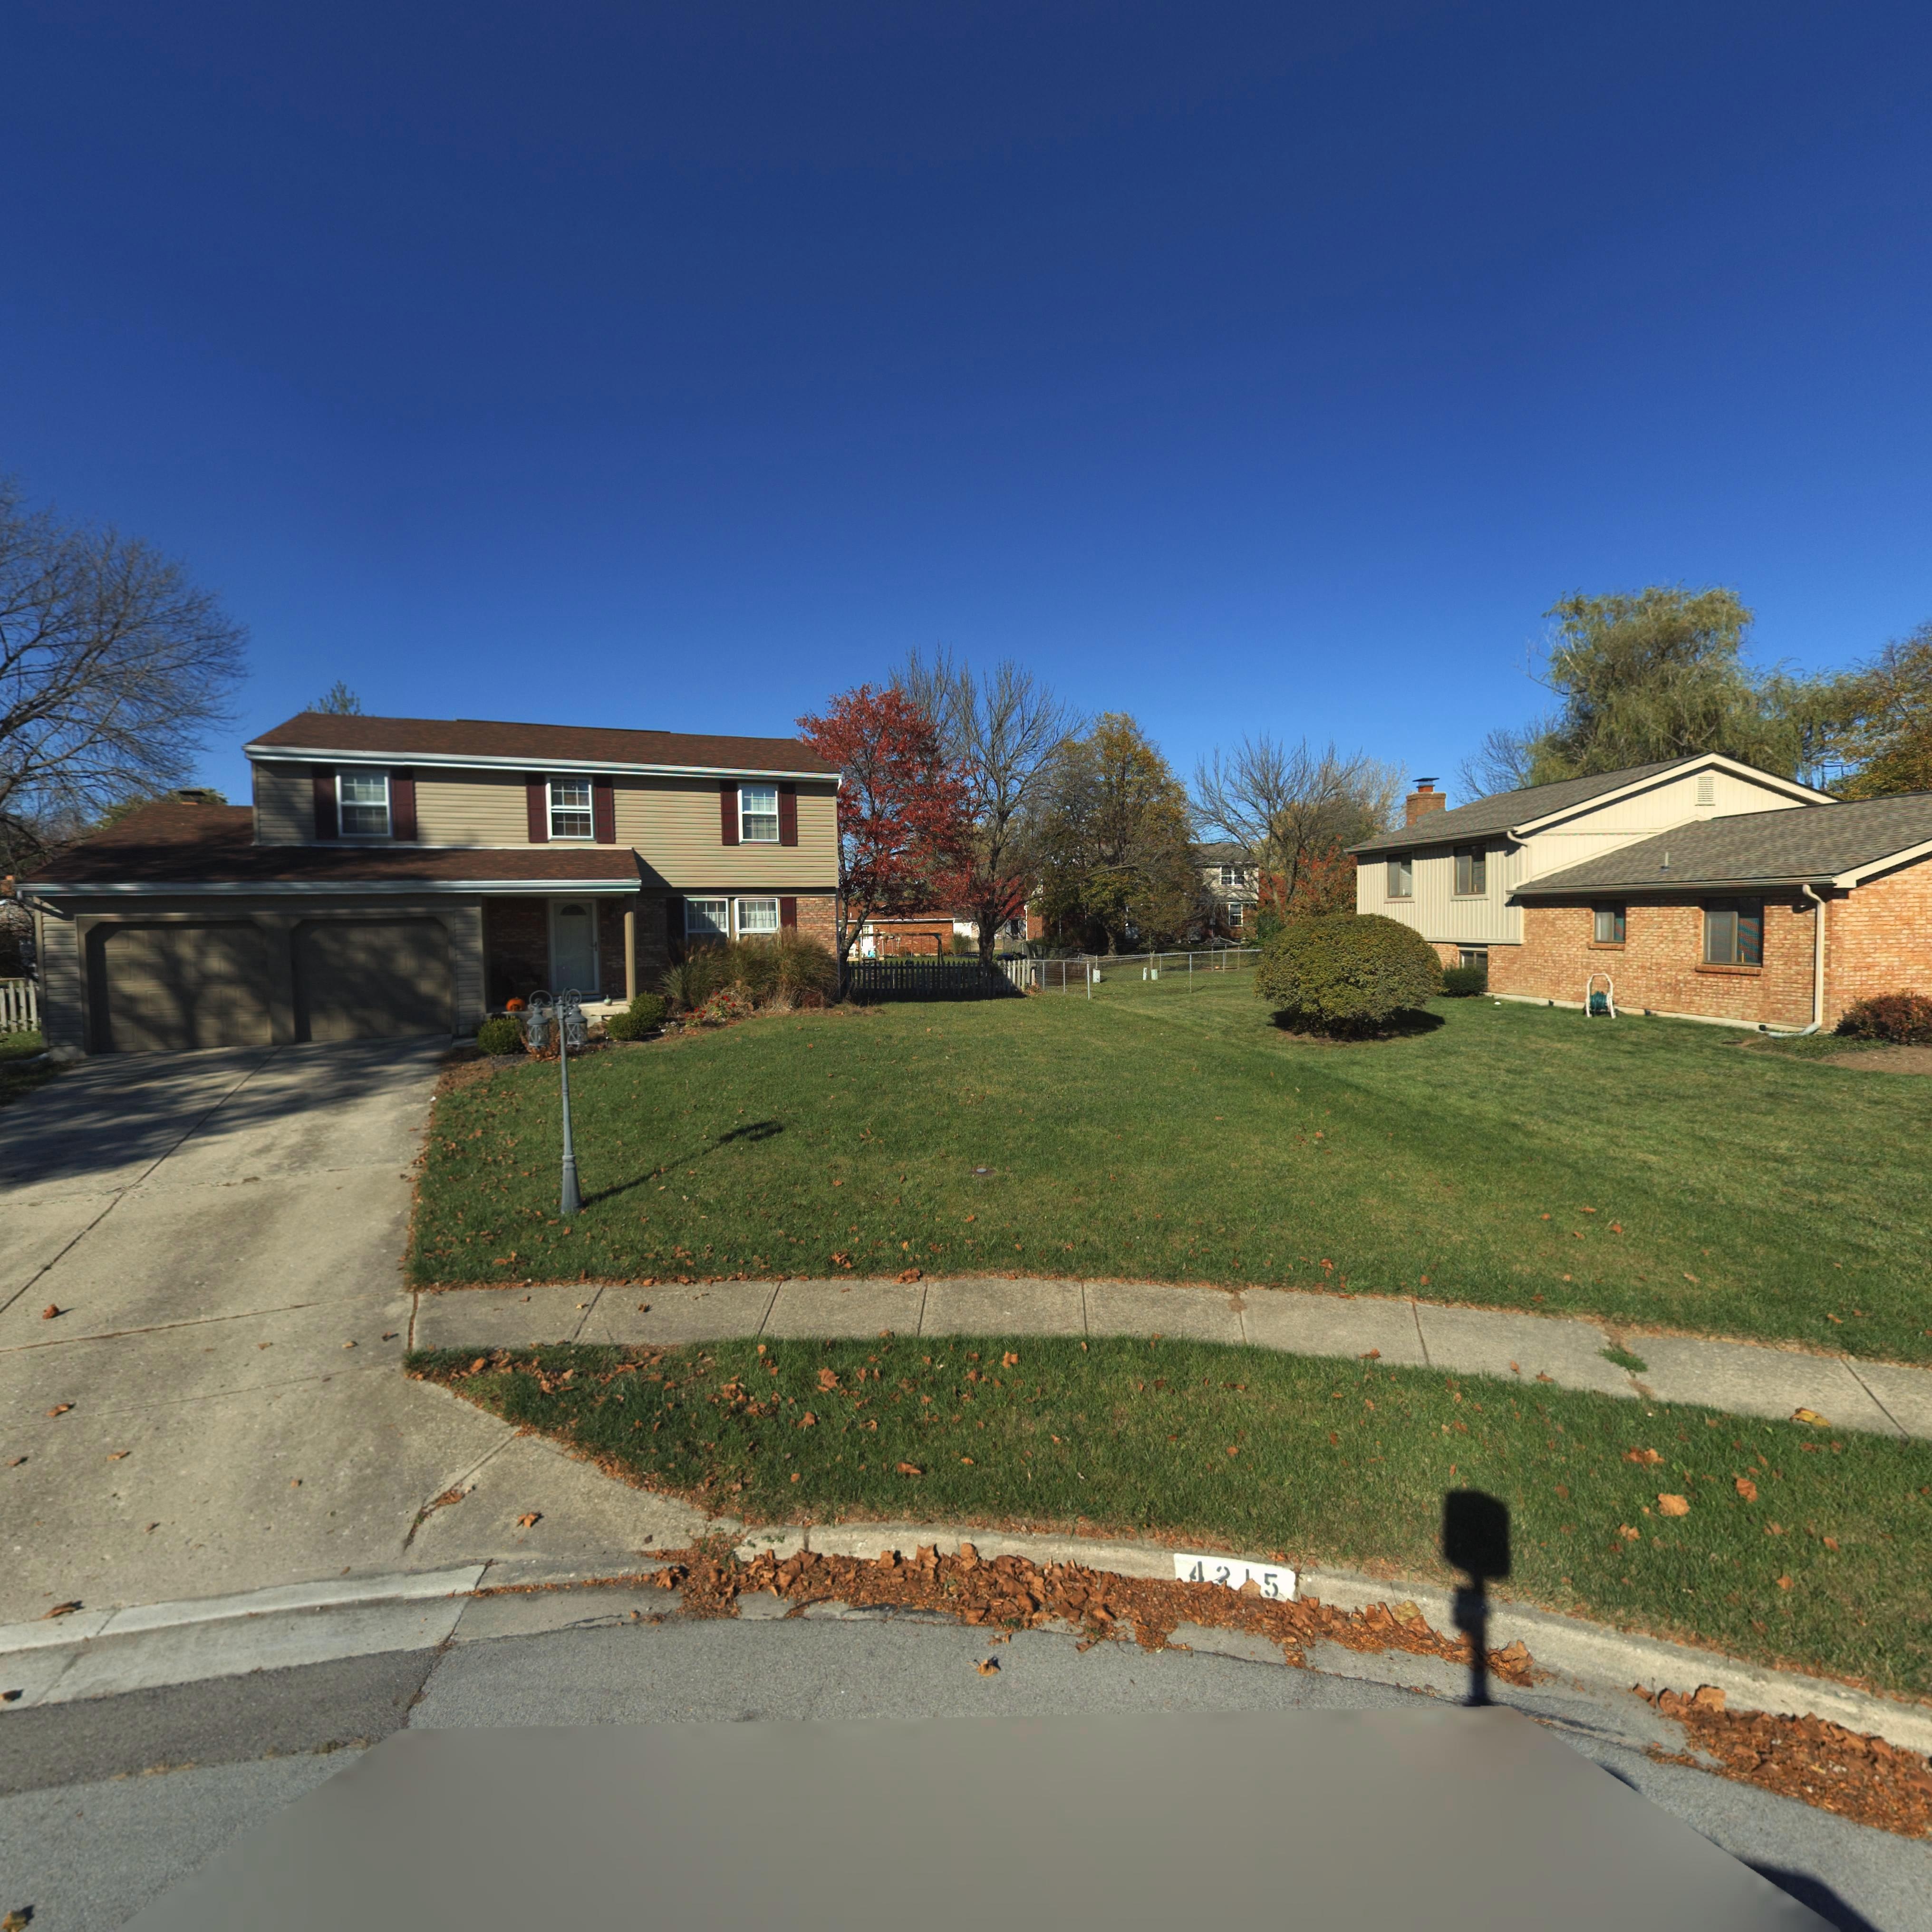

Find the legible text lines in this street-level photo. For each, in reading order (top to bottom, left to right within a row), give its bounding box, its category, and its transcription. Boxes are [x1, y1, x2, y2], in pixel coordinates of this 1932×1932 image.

[1185, 1558, 1282, 1601] StreetNumber: 4**5